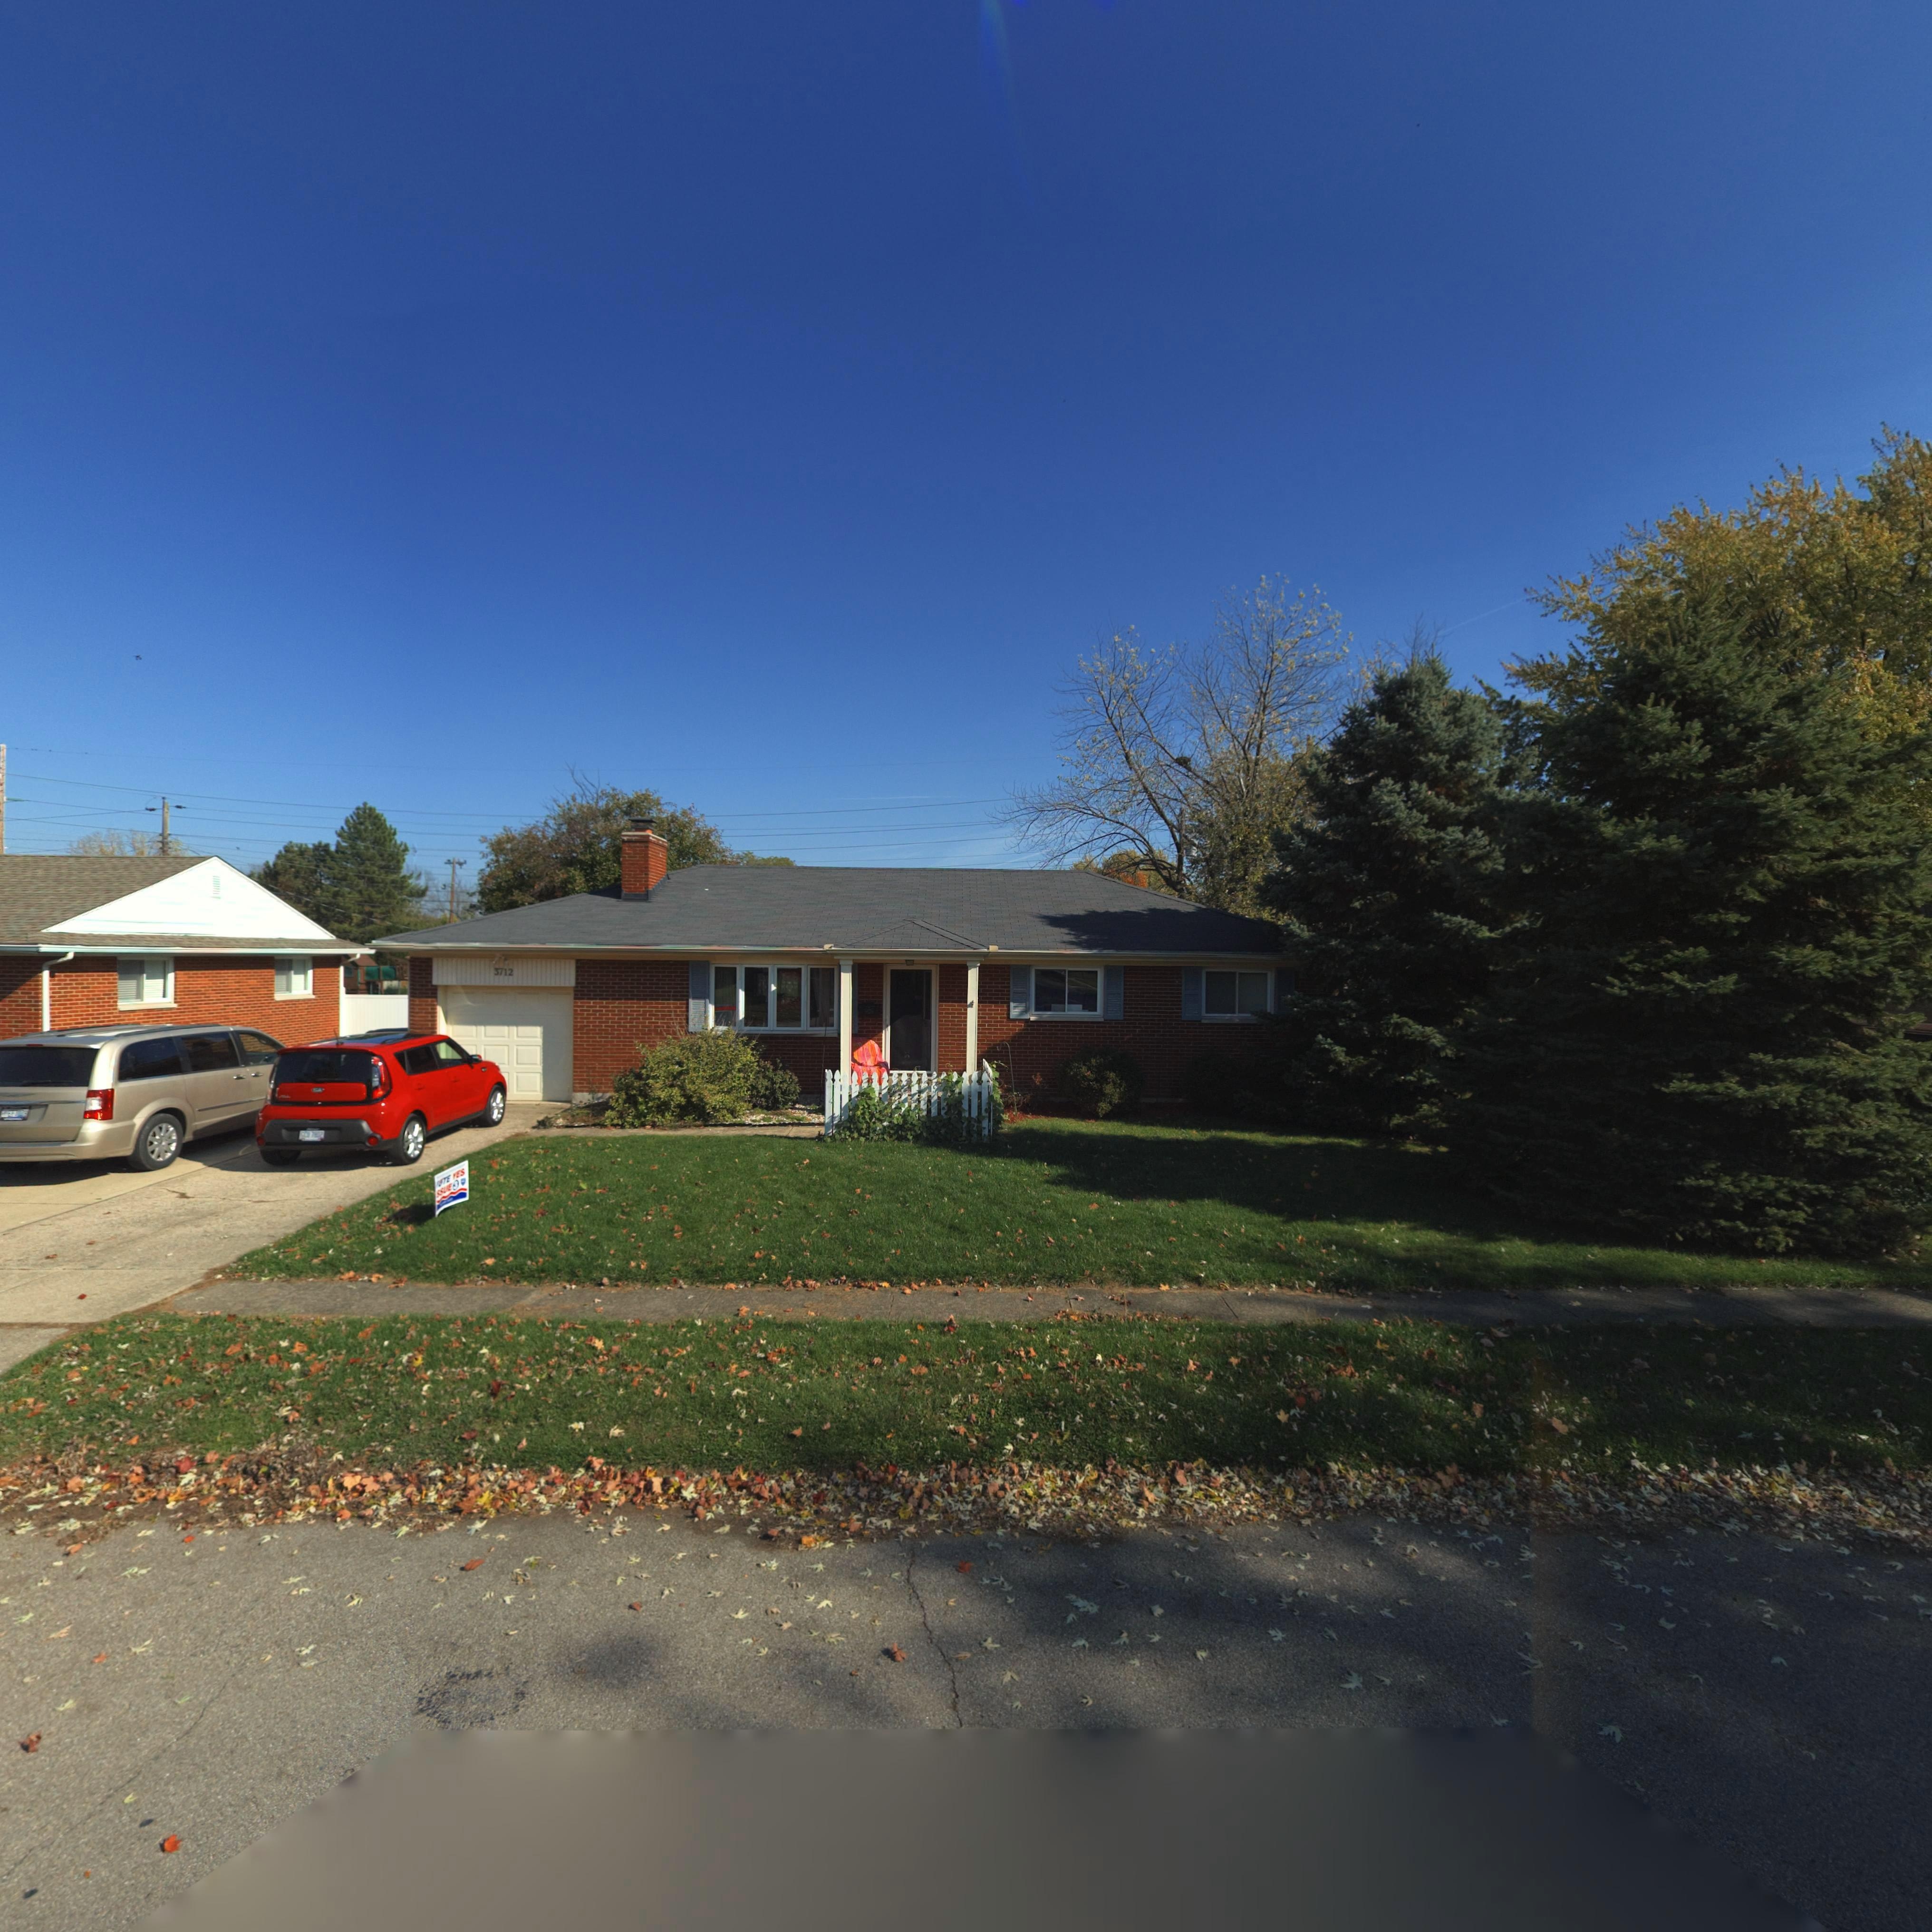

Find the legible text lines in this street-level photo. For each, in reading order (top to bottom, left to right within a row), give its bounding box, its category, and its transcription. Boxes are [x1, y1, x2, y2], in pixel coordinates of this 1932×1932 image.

[493, 966, 515, 977] StreetNumber: 3712